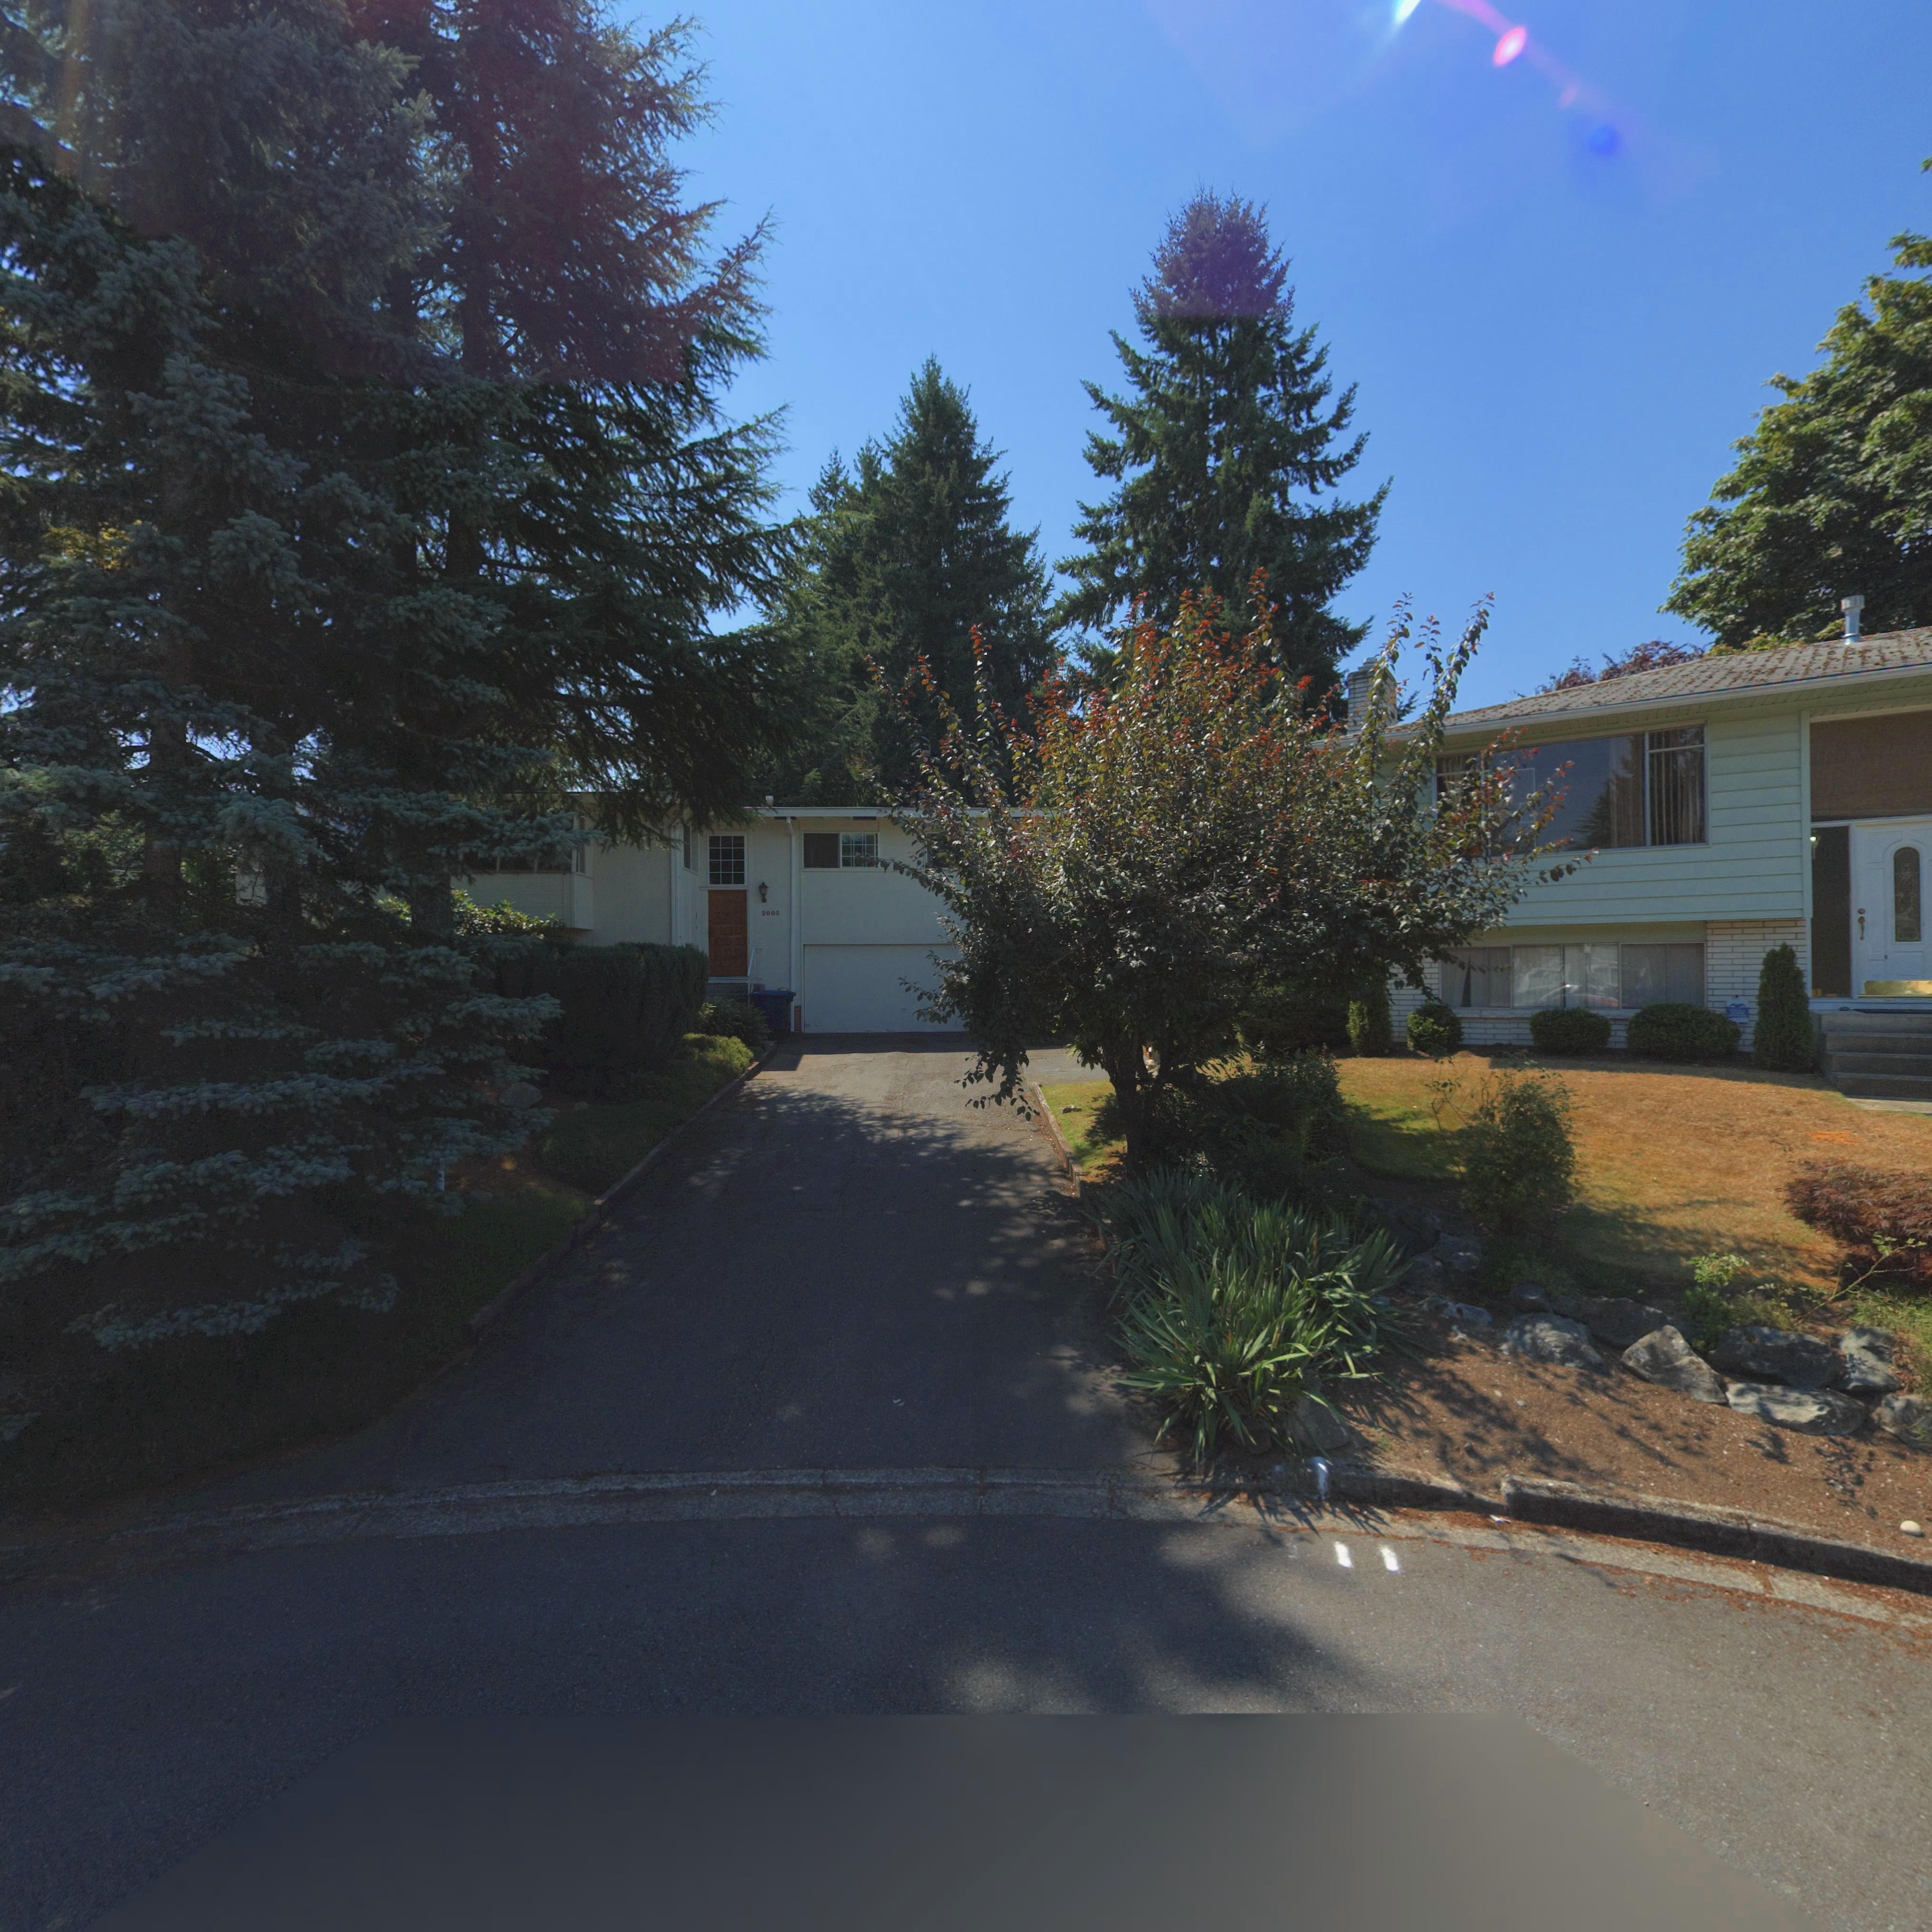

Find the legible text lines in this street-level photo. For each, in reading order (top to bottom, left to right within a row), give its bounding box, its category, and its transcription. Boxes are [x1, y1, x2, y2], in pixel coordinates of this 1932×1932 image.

[761, 910, 780, 917] StreetNumber: 2005